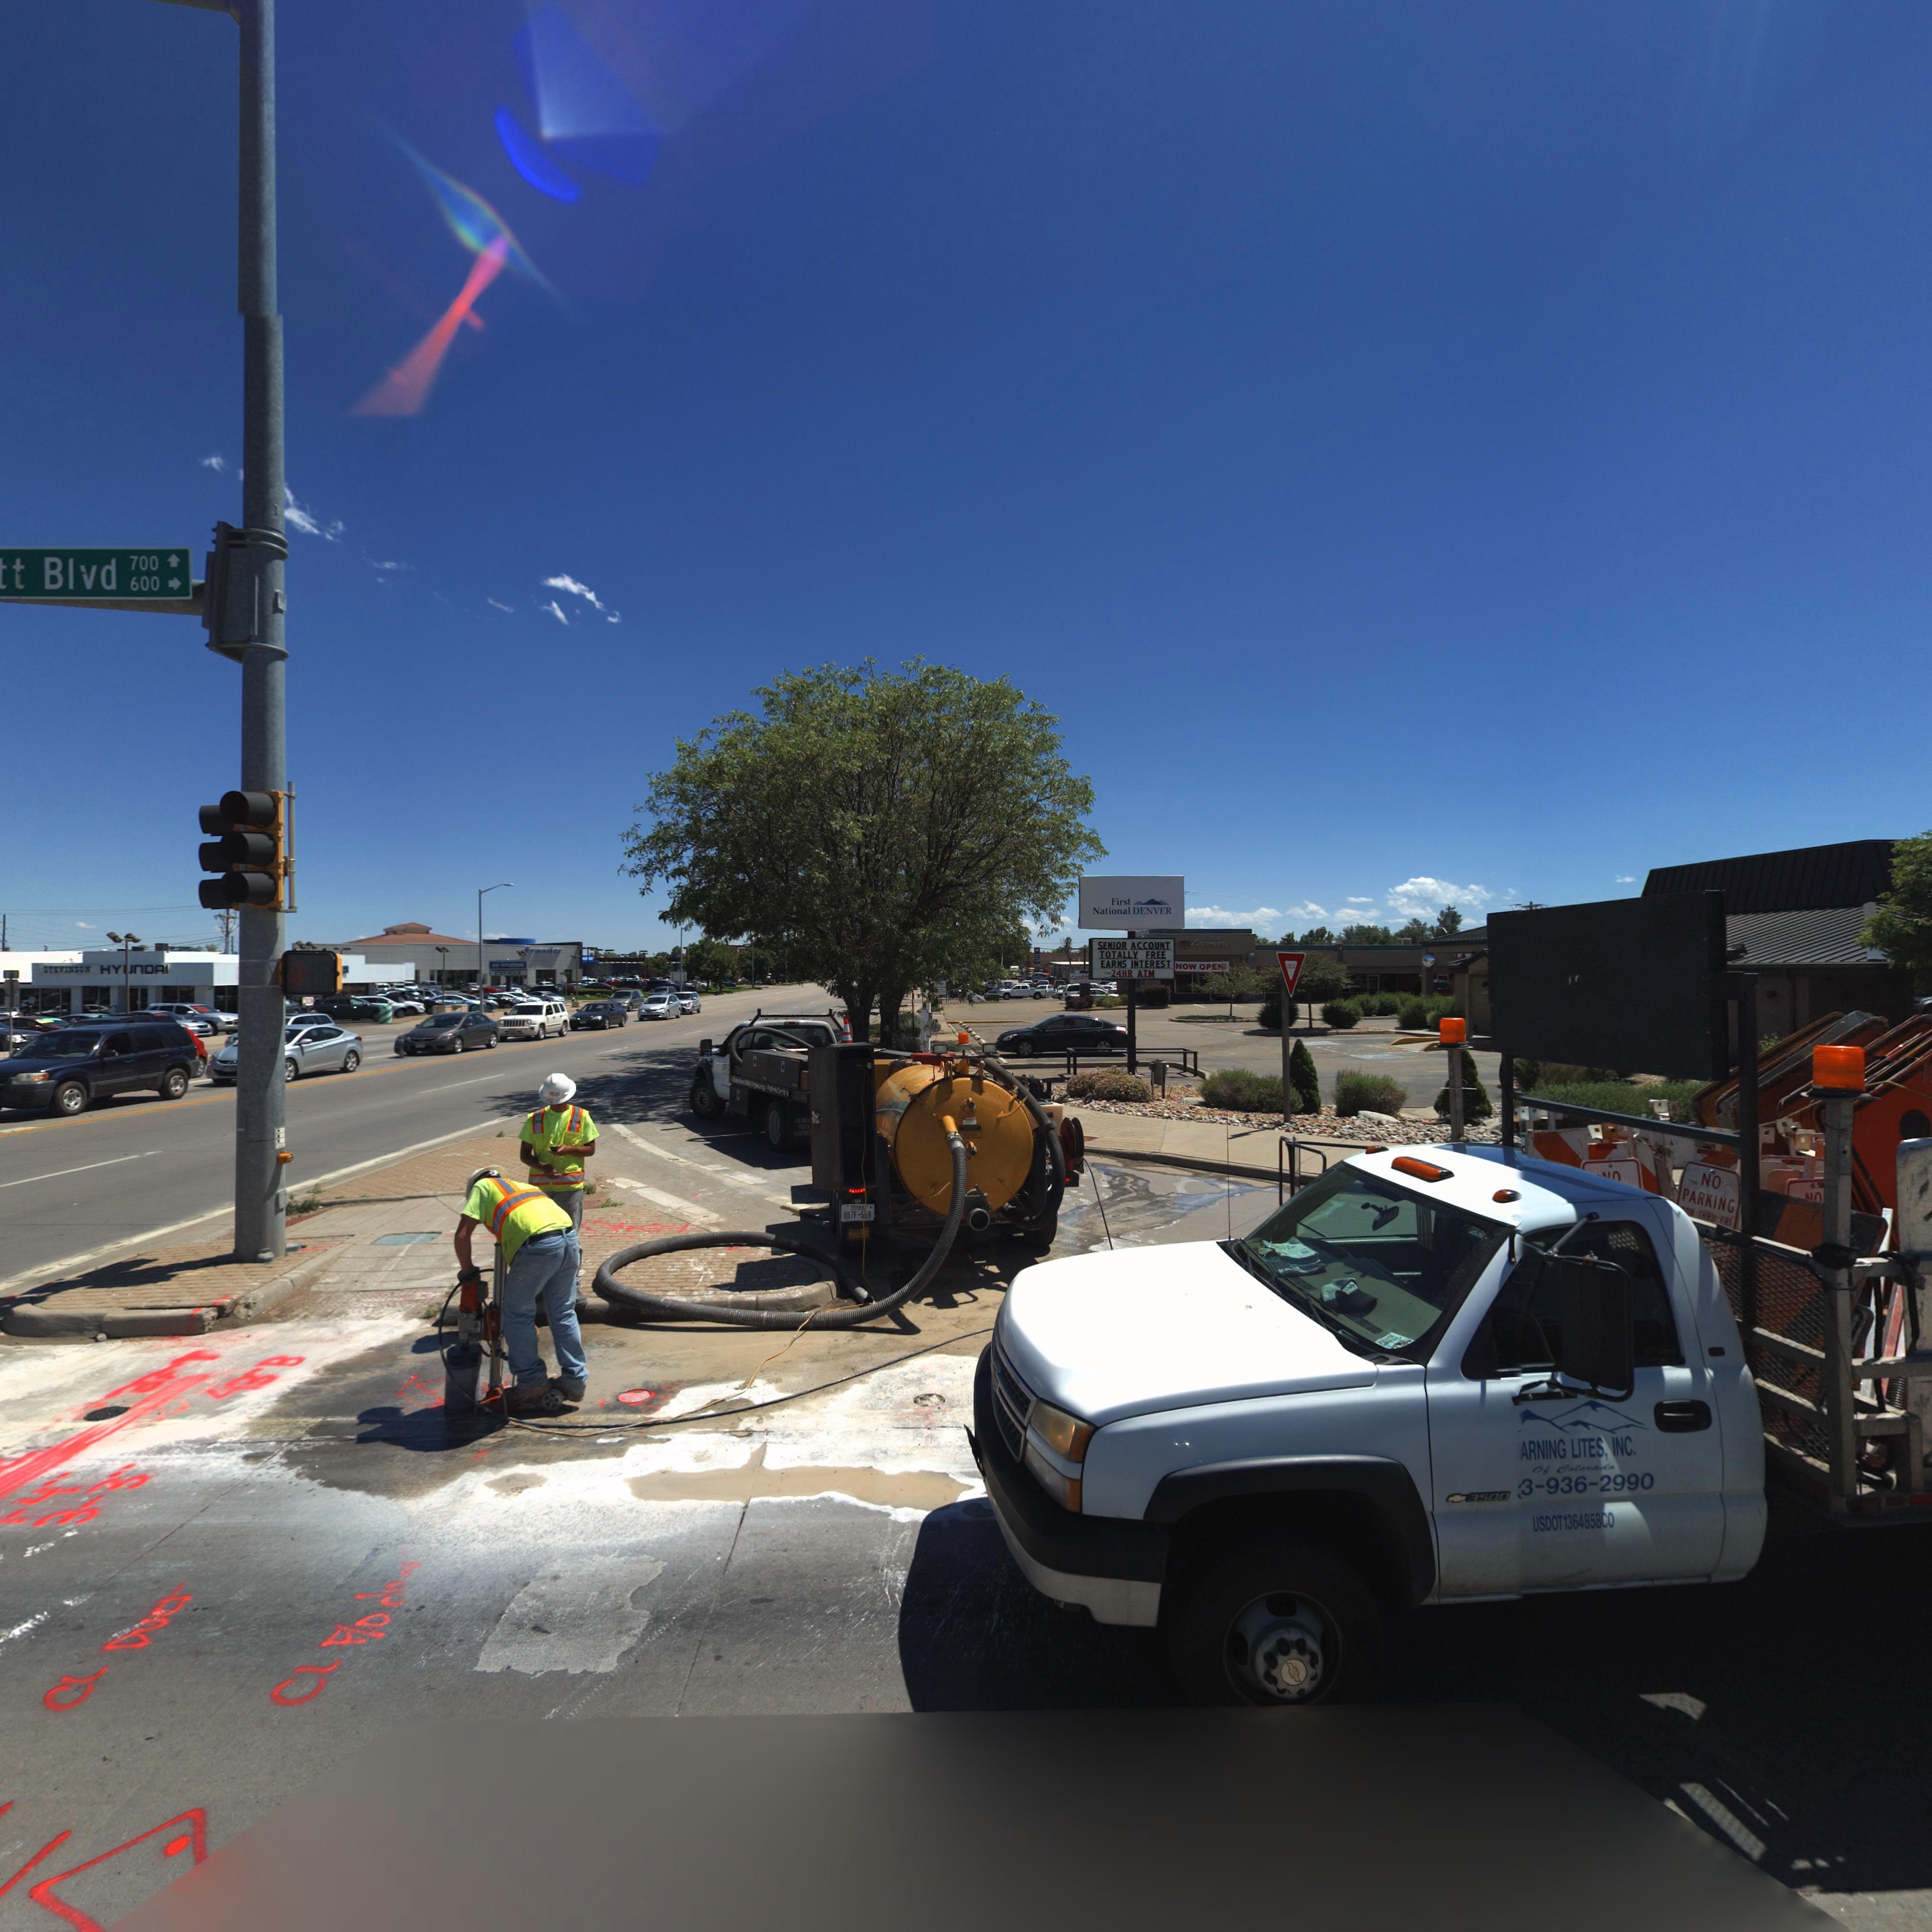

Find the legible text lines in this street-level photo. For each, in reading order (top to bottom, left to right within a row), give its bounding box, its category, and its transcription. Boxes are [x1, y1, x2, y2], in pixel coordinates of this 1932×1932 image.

[128, 555, 160, 571] StreetNumberRange: 700
[11, 555, 118, 591] StreetName: t Blvd
[129, 576, 184, 591] StreetNumberRange: 600 ->
[1111, 897, 1130, 906] BusinessName: First
[1092, 906, 1172, 915] BusinessName: National DENVER
[525, 946, 563, 953] BusinessName: Fron**er
[43, 965, 91, 973] BusinessName: STEVI*SON
[99, 964, 170, 975] BusinessName: HY*nDAI
[493, 971, 522, 976] BusinessName: STEV*N**N
[501, 963, 524, 967] BusinessName: HYUnD**
[1070, 973, 1087, 980] BusinessName: Good f